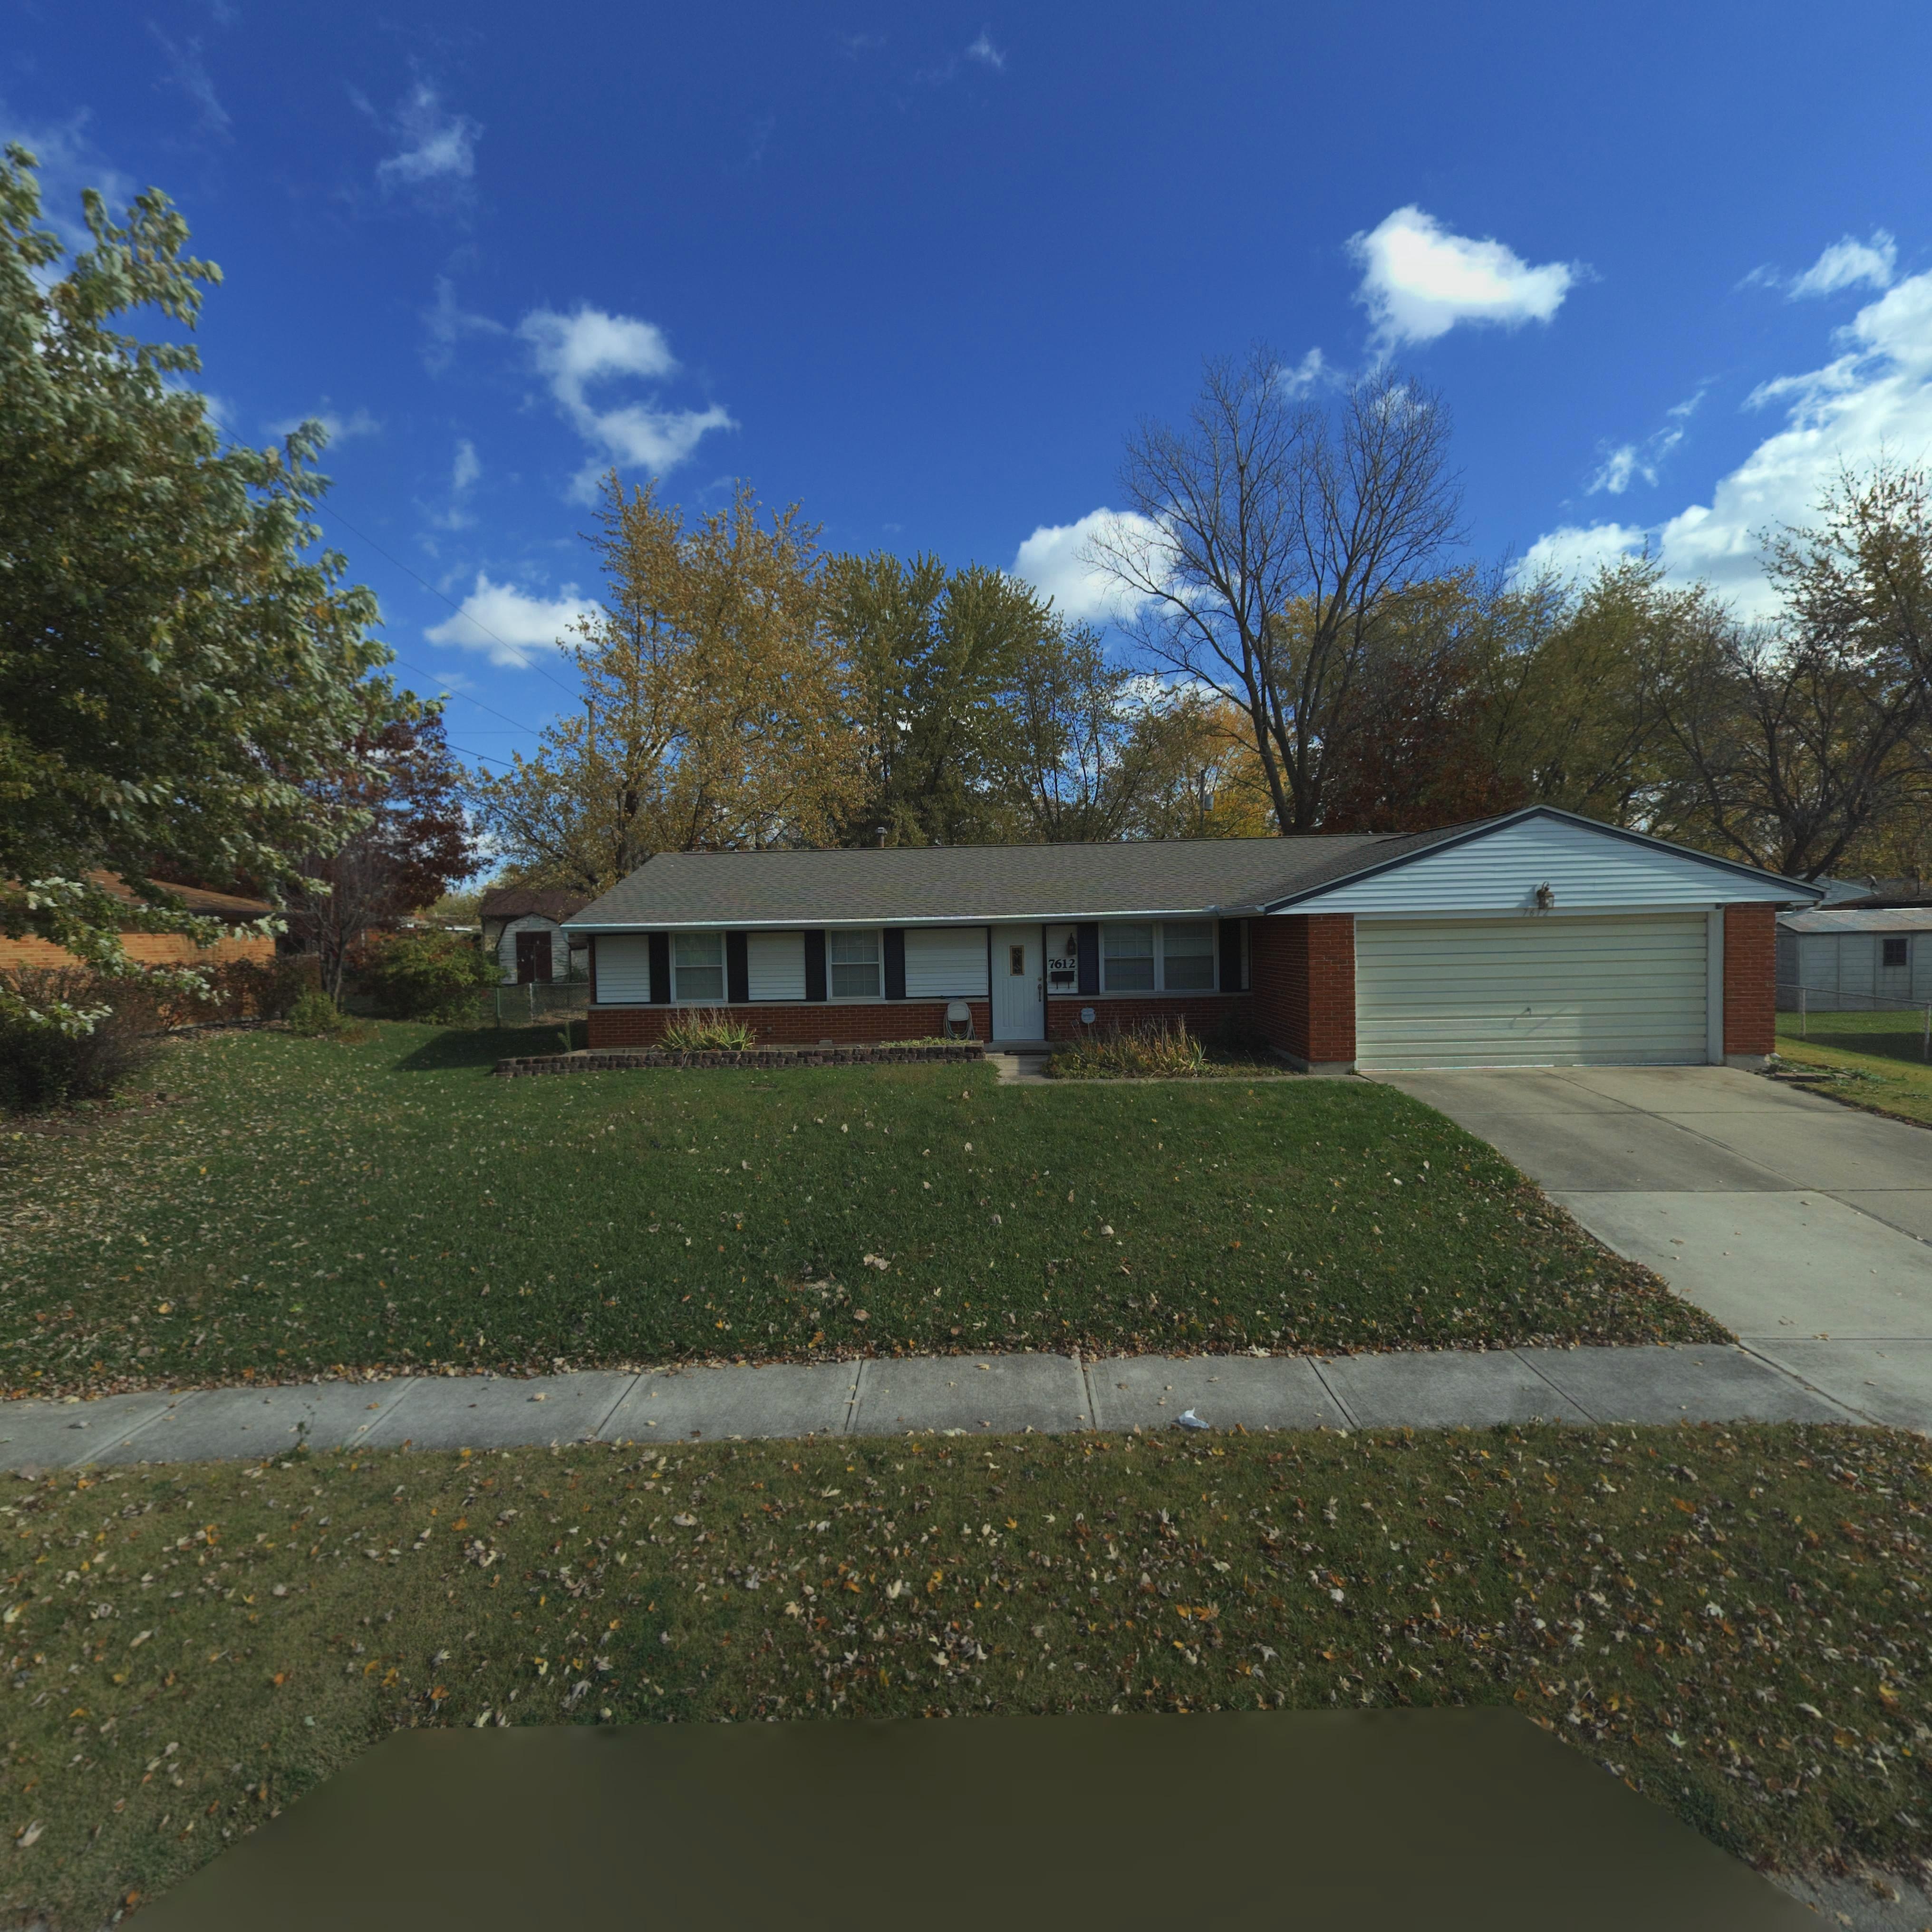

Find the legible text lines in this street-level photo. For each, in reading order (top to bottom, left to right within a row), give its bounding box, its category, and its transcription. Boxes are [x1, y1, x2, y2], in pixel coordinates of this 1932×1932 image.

[1521, 907, 1551, 918] StreetNumber: 761*
[1047, 957, 1077, 970] StreetNumber: 7612